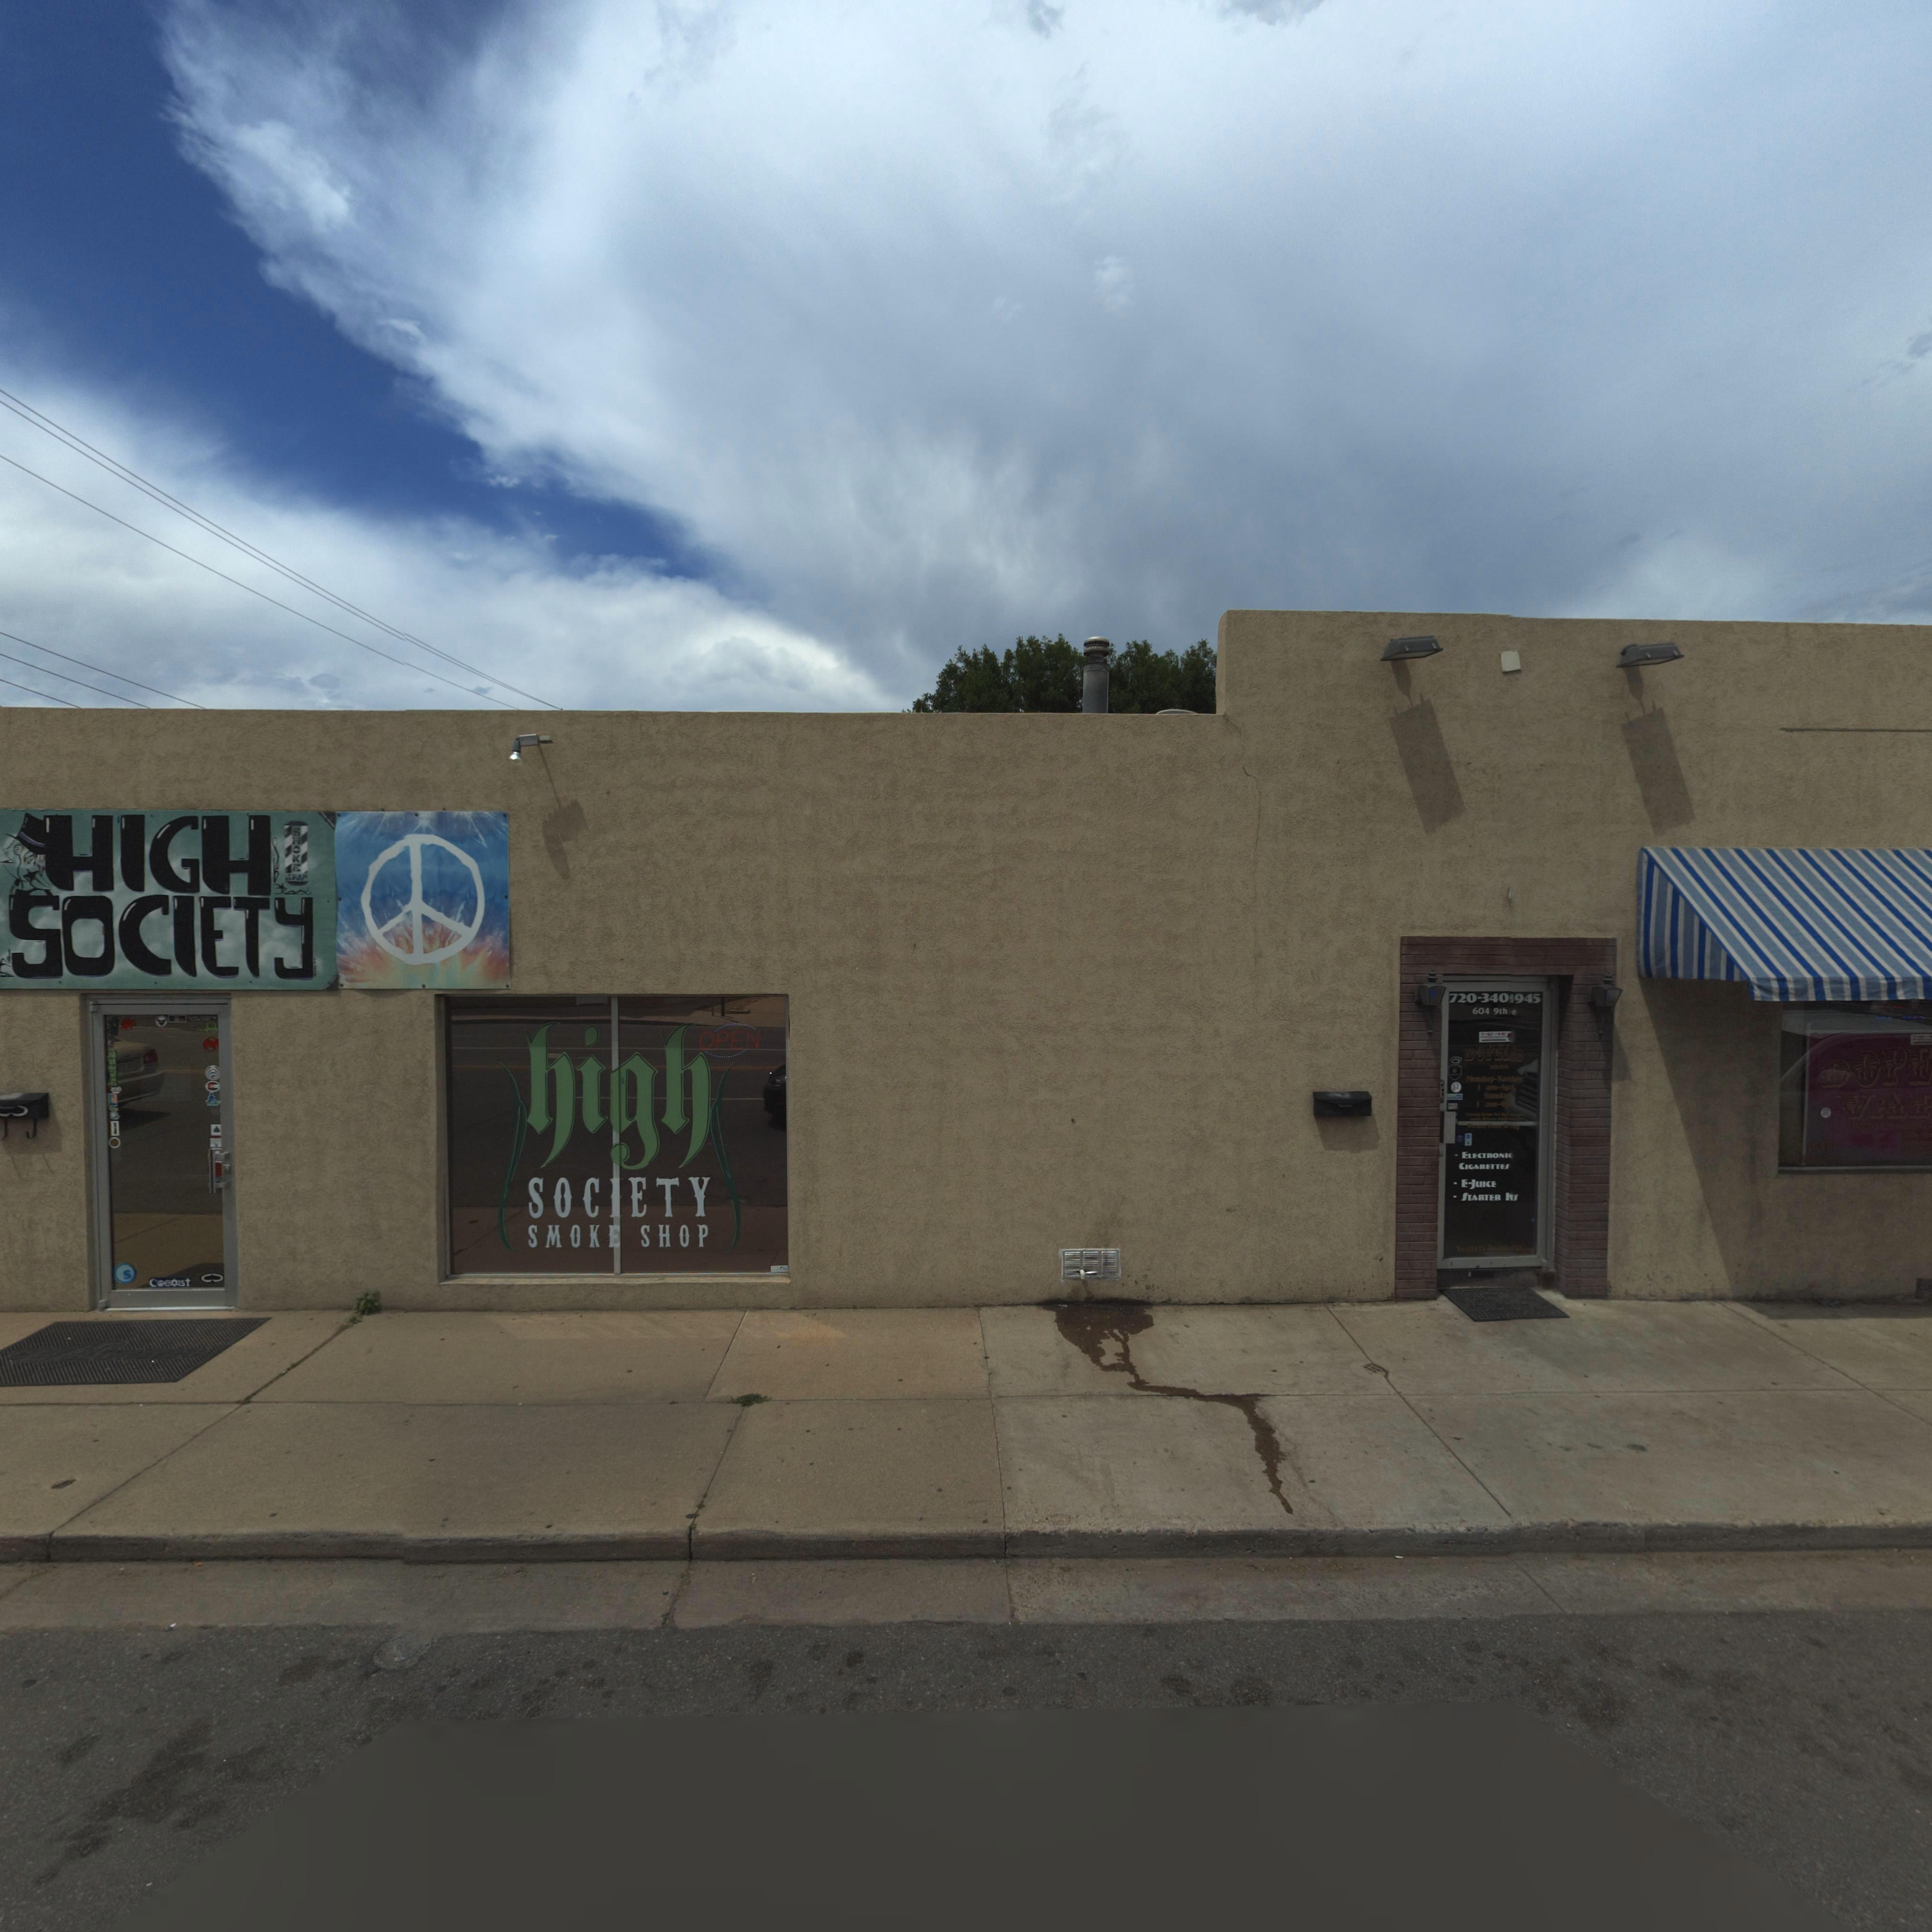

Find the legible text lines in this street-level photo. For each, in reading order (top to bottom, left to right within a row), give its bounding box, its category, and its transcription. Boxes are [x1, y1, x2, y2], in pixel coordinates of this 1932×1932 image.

[43, 814, 270, 895] BusinessName: HIGH
[291, 827, 301, 872] BusinessName: SMOKE
[284, 873, 307, 880] BusinessName: SHOP
[8, 894, 313, 978] BusinessName: SOCIETY
[1473, 1007, 1489, 1014] StreetNumber: 604
[1493, 1007, 1507, 1014] StreetName: 9th
[1465, 1043, 1523, 1061] BusinessName: DOPELESS
[1824, 1045, 1928, 1088] BusinessName: DOP*
[524, 1021, 712, 1170] BusinessName: high
[1838, 1092, 1927, 1120] BusinessName: VA*
[528, 1177, 710, 1217] BusinessName: SOCIETY
[527, 1224, 708, 1247] BusinessName: SMOKE SHOP